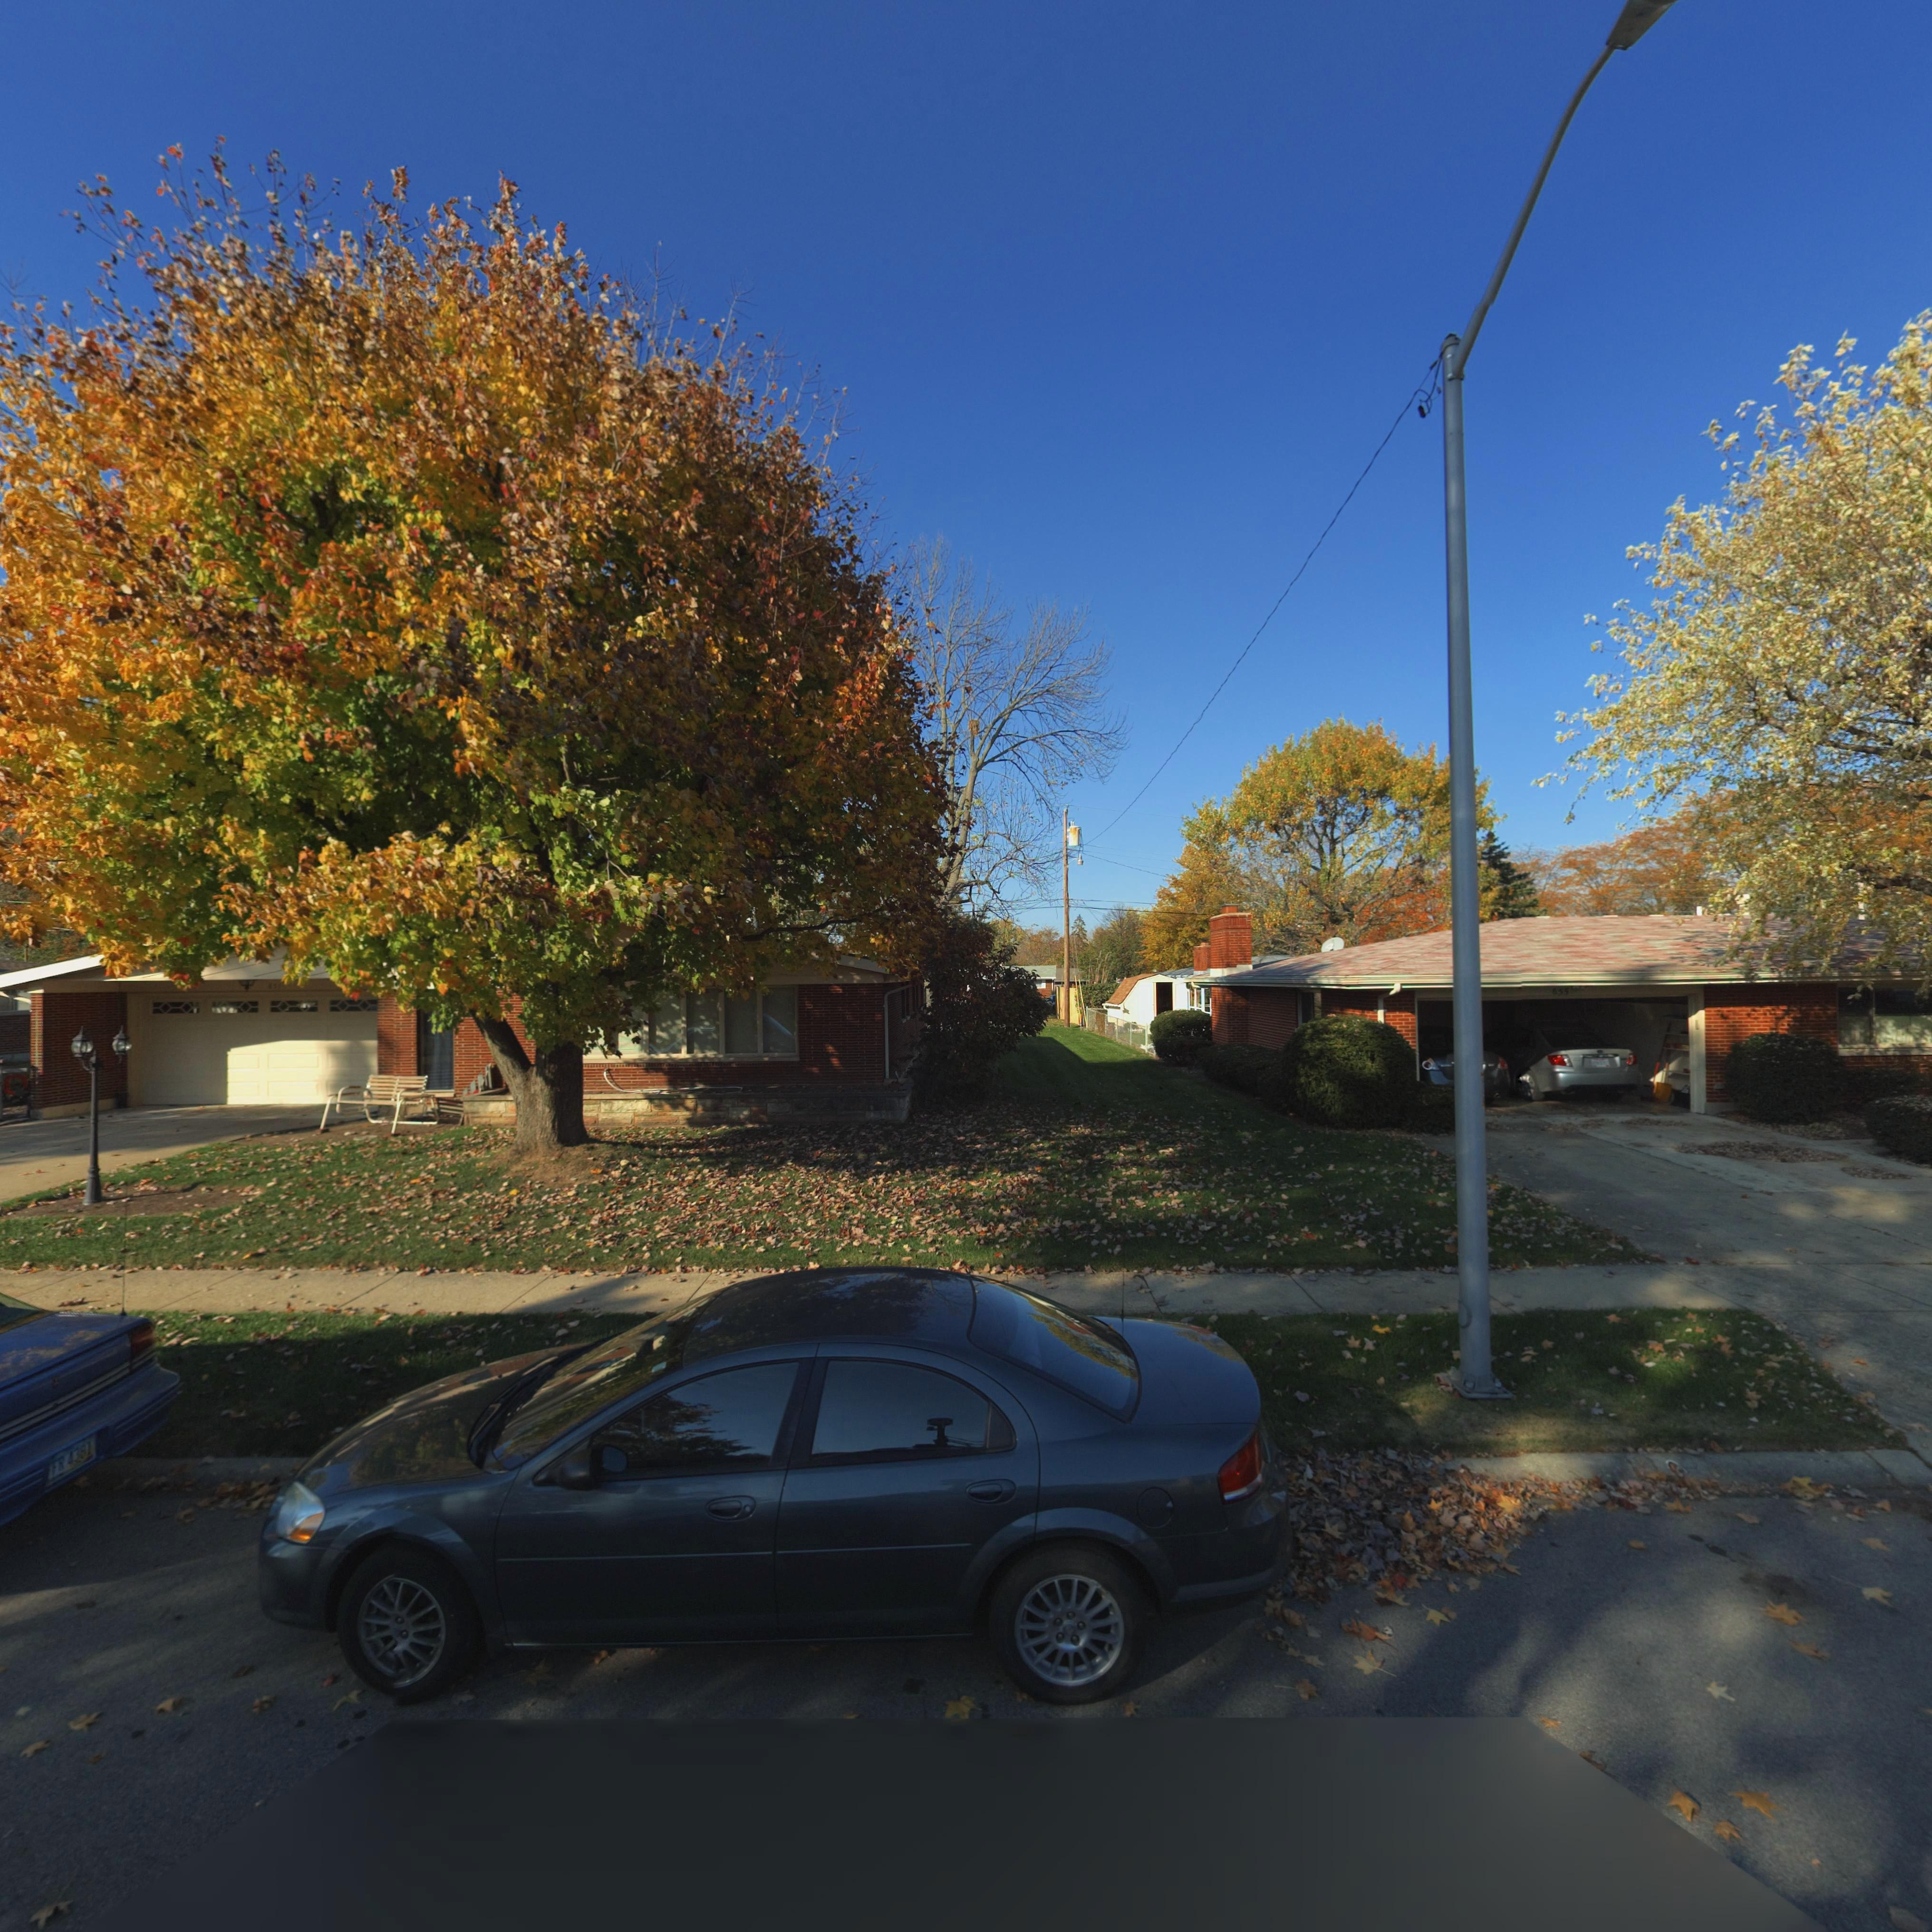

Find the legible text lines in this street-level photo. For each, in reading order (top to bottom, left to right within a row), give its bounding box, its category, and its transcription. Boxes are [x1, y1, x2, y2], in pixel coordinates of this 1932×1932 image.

[267, 982, 281, 989] StreetNumber: 651
[1551, 987, 1569, 995] StreetNumber: 655